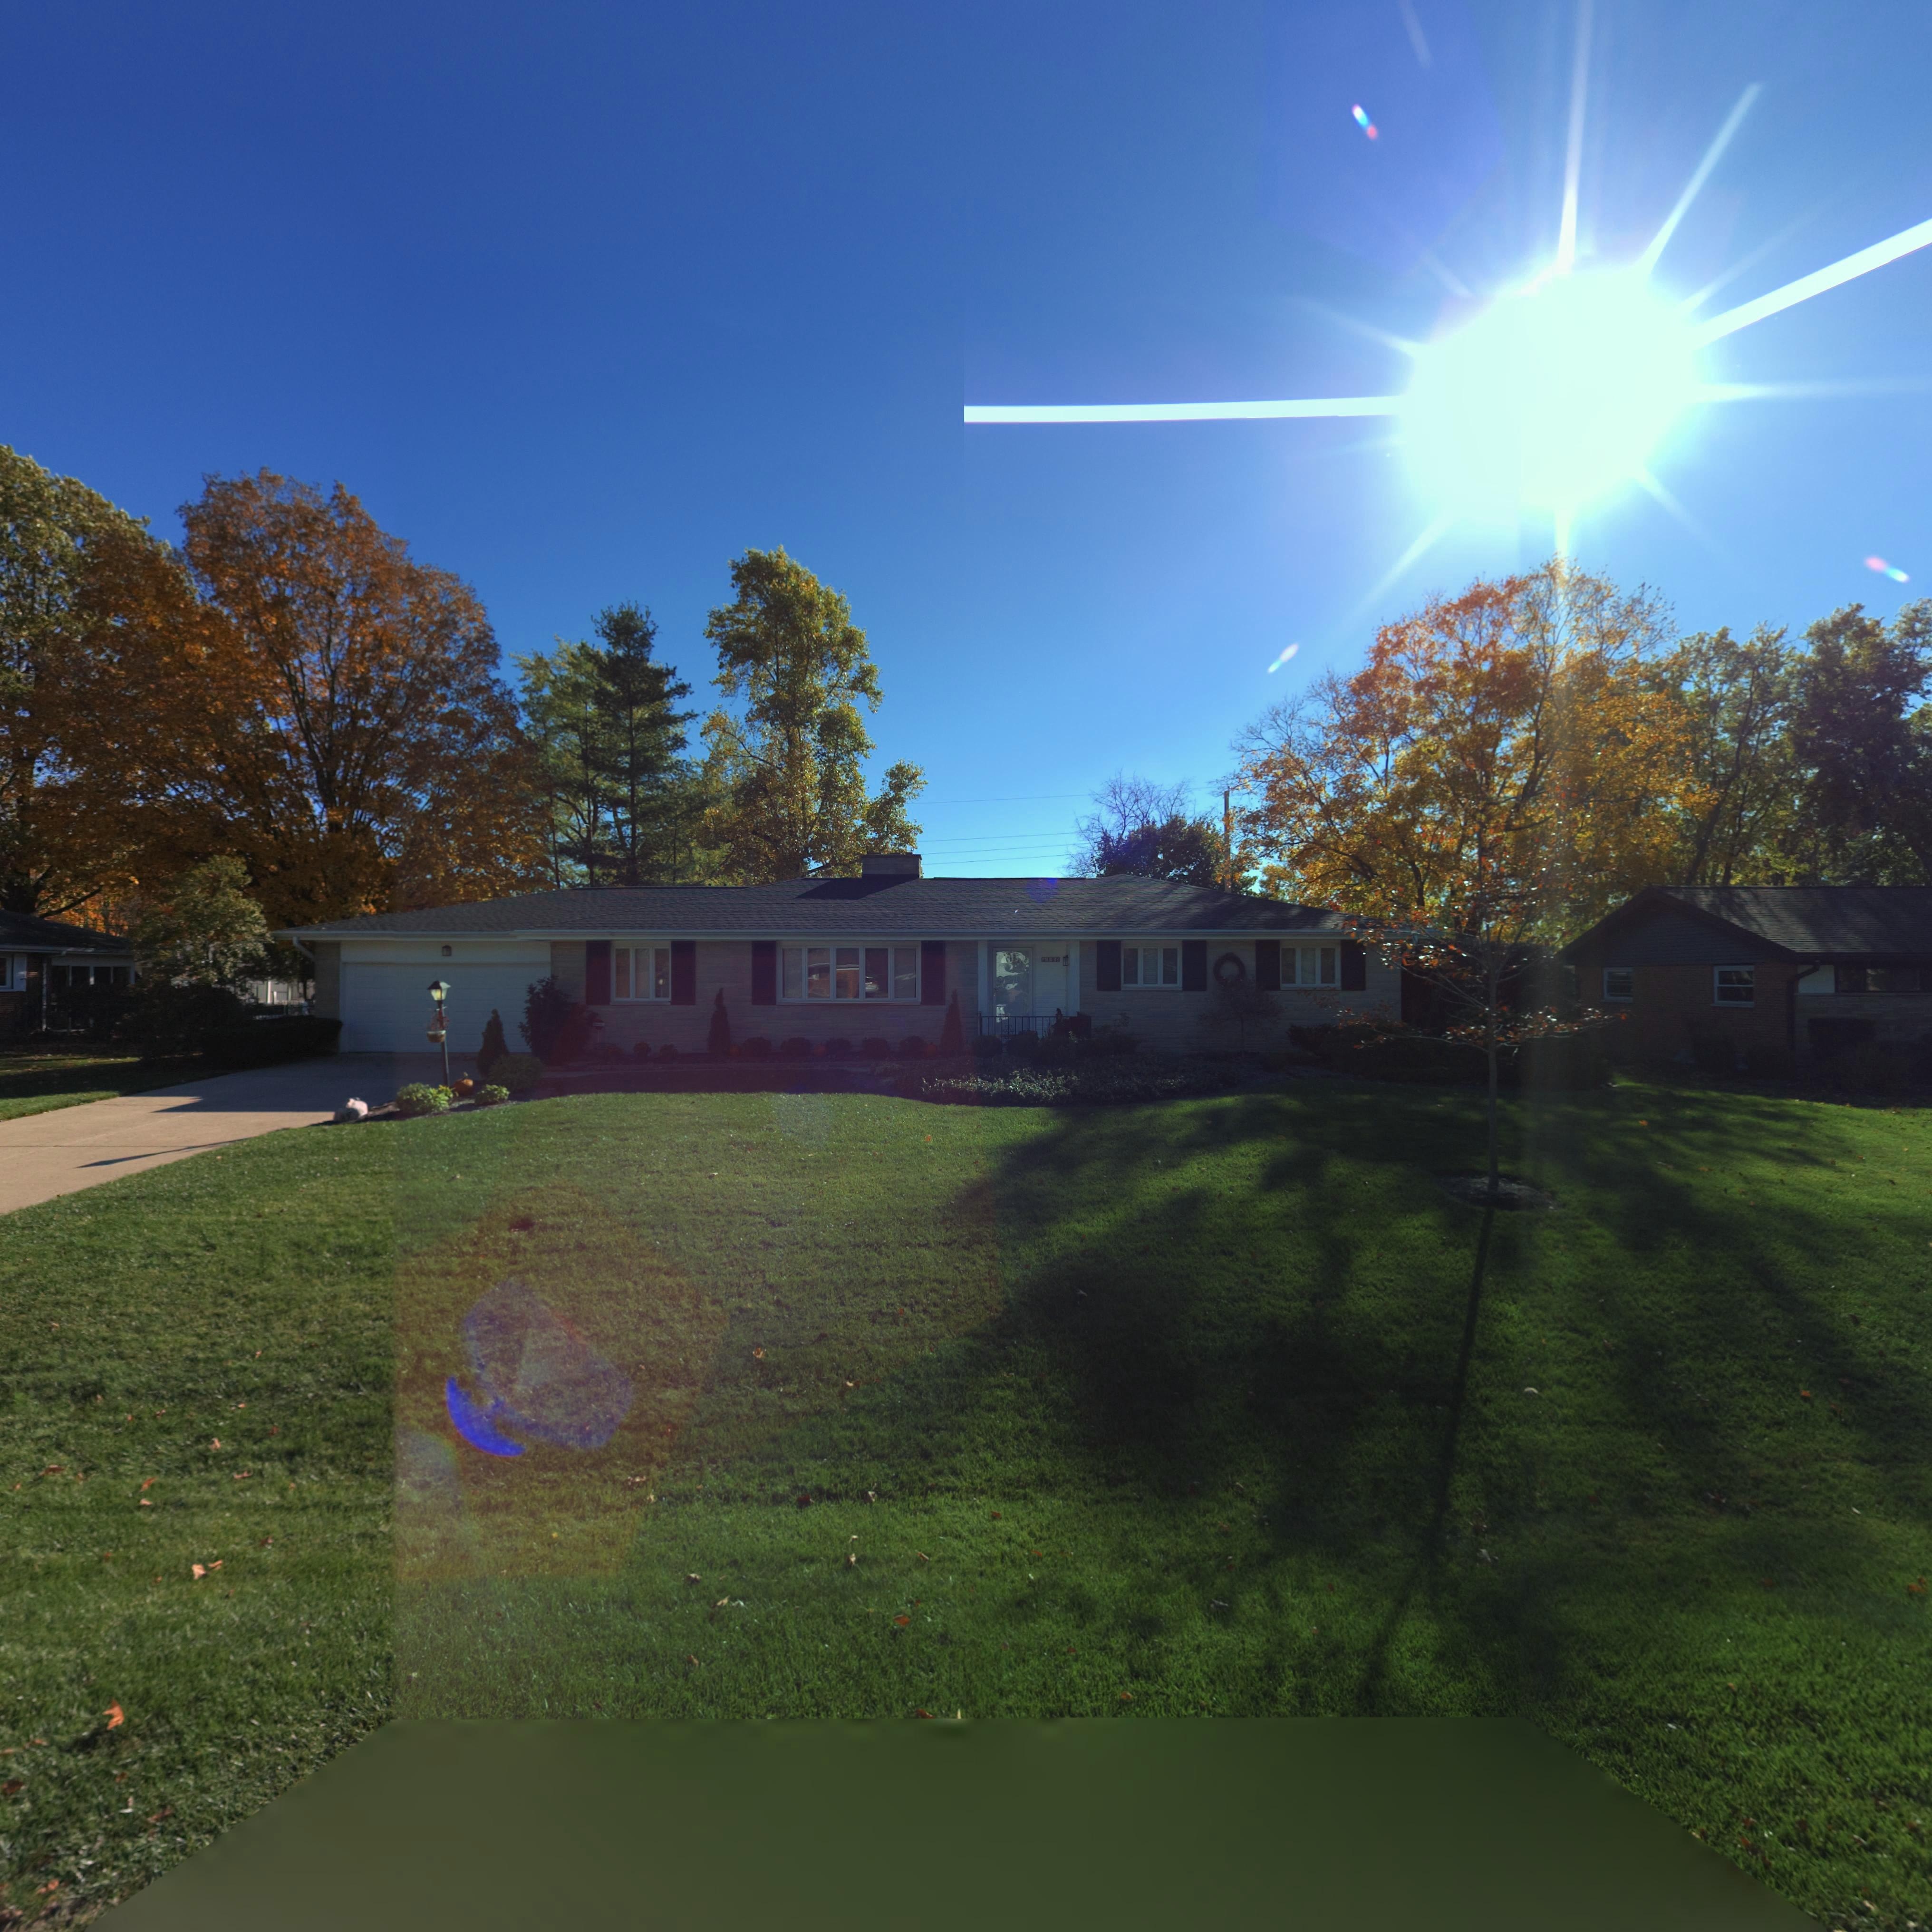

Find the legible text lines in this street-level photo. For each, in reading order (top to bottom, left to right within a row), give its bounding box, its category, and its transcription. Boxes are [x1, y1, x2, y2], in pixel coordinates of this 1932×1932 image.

[1047, 957, 1059, 962] StreetNumber: 190